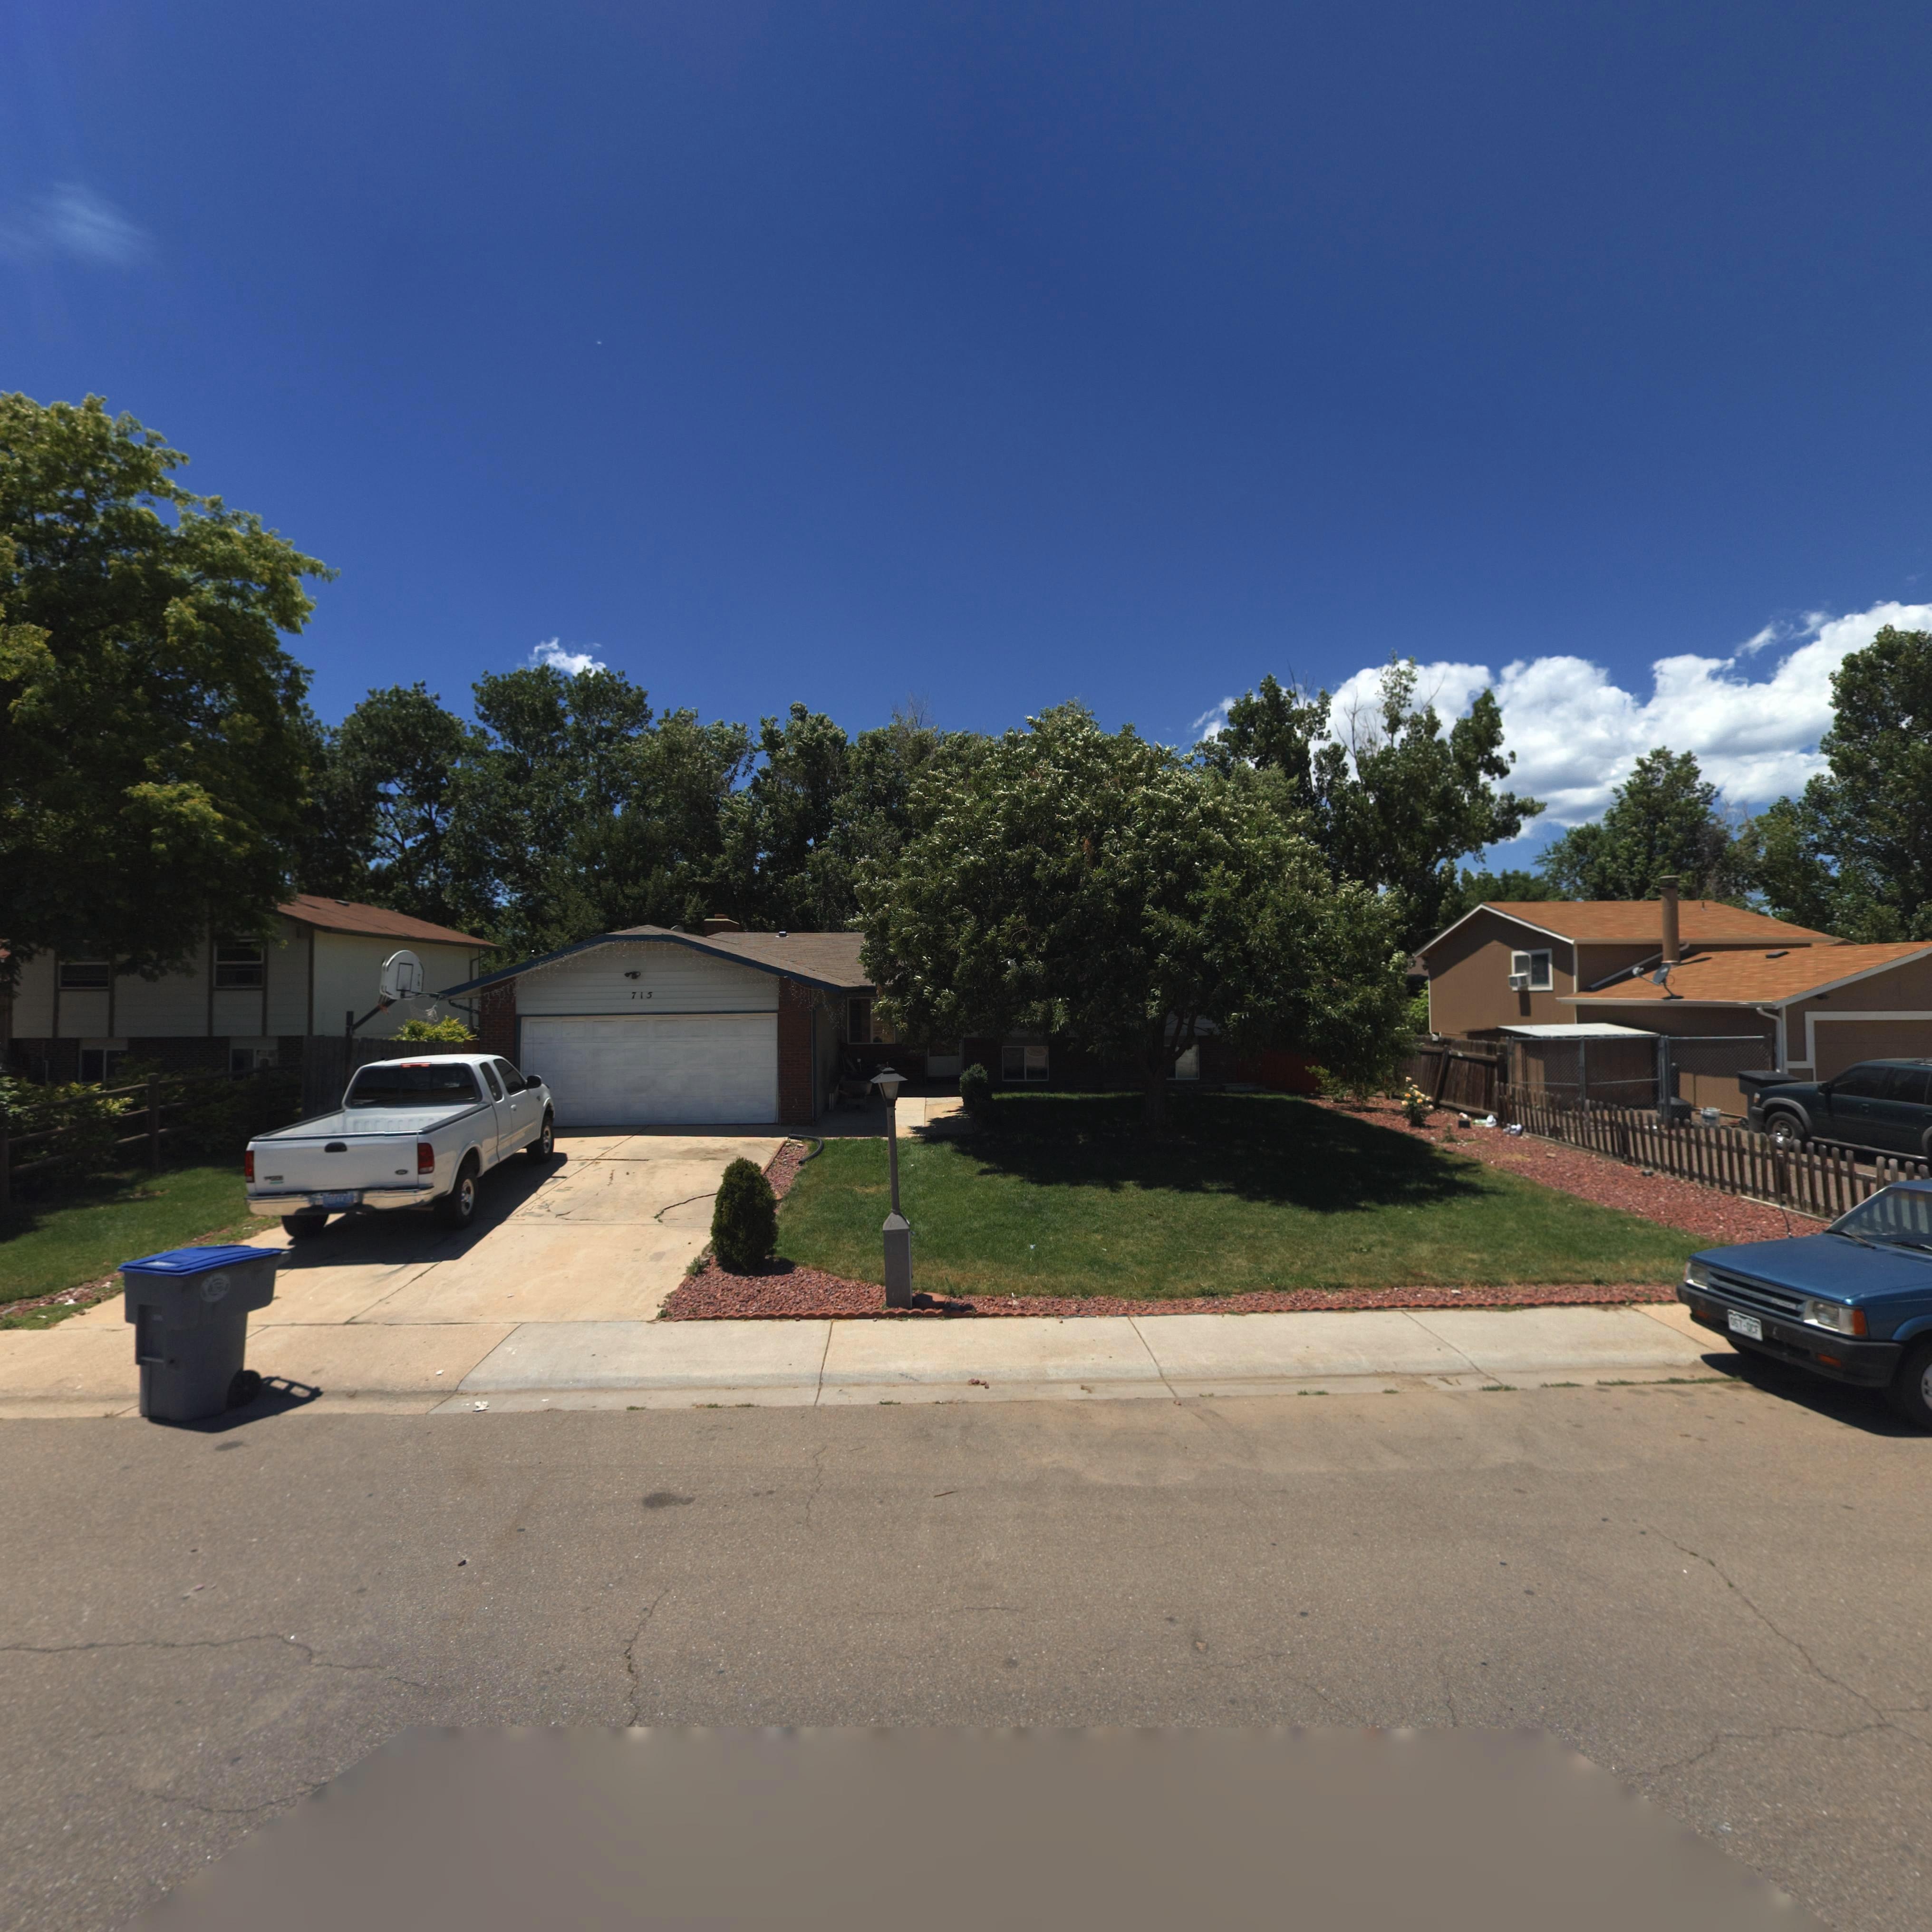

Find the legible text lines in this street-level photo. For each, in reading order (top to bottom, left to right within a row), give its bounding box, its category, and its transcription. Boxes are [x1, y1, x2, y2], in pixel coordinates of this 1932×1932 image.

[630, 991, 653, 999] StreetNumber: 715